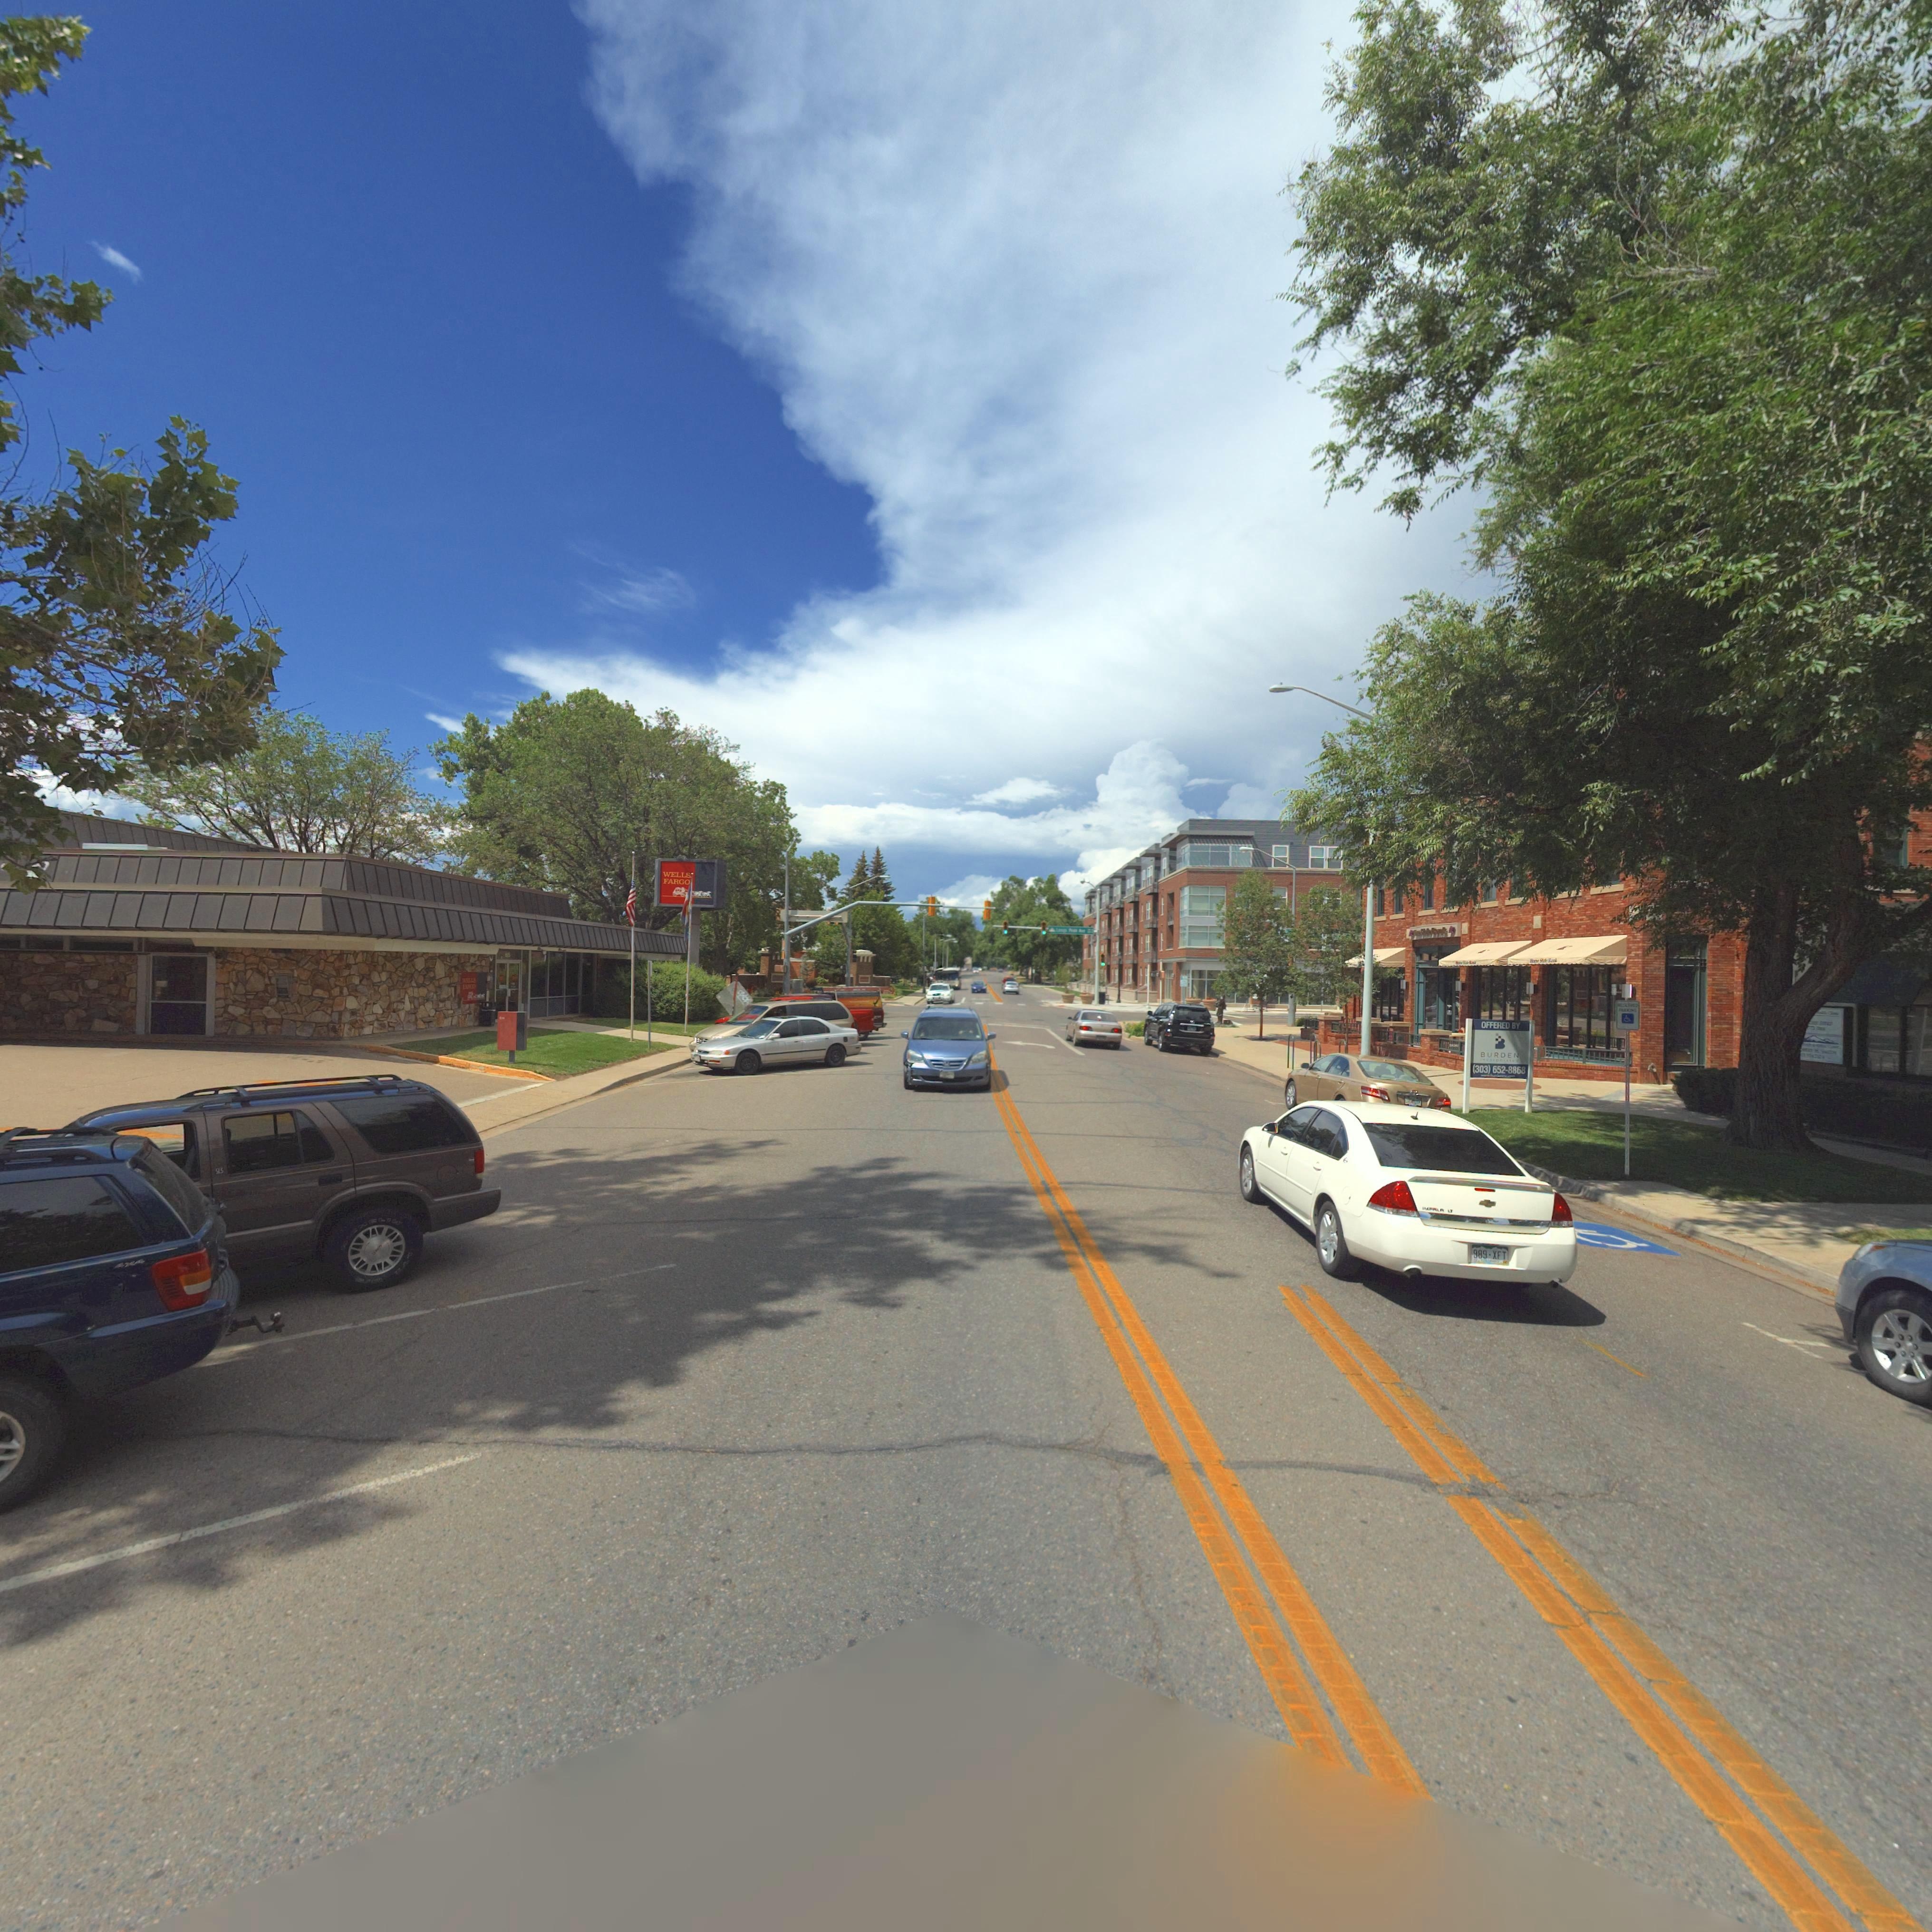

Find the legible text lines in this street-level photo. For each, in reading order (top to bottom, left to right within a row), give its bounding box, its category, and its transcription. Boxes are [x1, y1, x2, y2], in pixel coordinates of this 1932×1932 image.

[662, 871, 691, 879] BusinessName: WELLS
[662, 878, 690, 885] BusinessName: FARGO
[1055, 927, 1086, 934] StreetName: Lo**s P*** A**
[1412, 927, 1448, 936] BusinessName: **** ***** B*nk
[504, 952, 511, 957] StreetNumber: 6*5
[462, 977, 476, 983] BusinessName: W*LLS
[462, 983, 476, 990] BusinessName: ****O